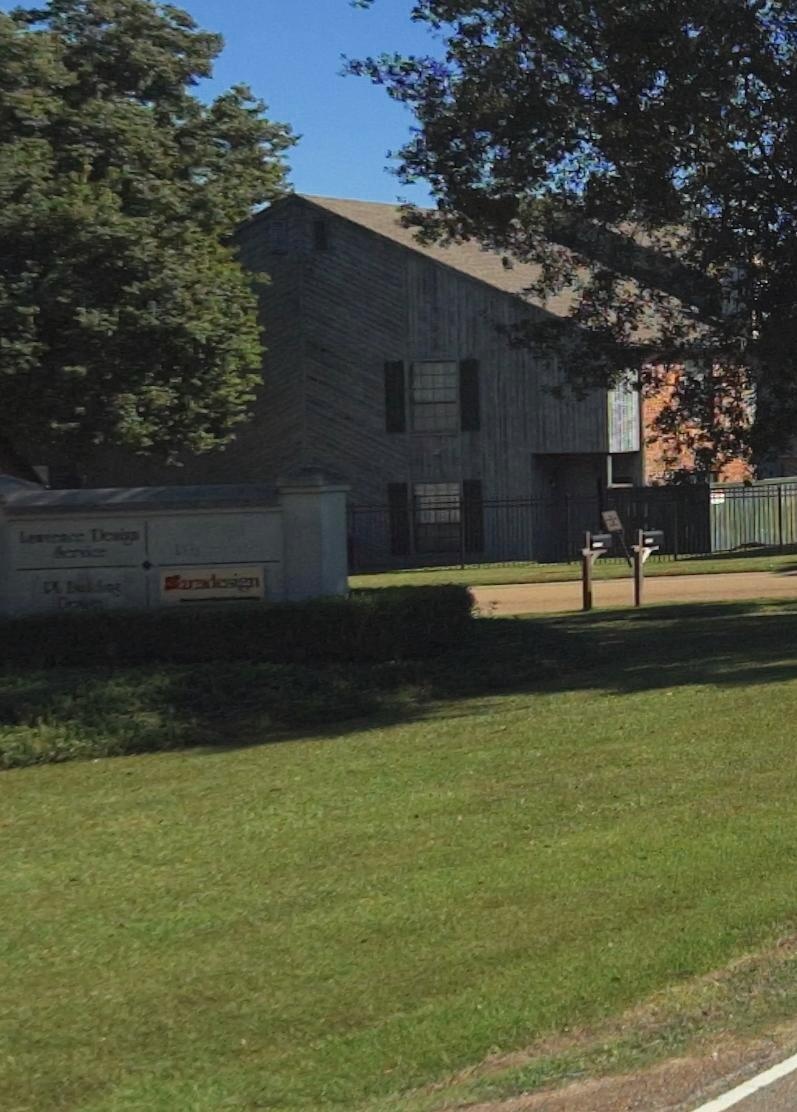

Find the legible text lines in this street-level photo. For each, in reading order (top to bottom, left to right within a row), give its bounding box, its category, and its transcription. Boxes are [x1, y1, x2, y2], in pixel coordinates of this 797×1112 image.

[17, 526, 142, 544] BusinessName: L*w*e*ce De*ig*
[52, 544, 109, 560] BusinessName: Servi*e
[41, 576, 124, 599] BusinessName: ** Bu*lding
[161, 572, 261, 594] BusinessName: S***design
[56, 594, 107, 614] BusinessName: De****